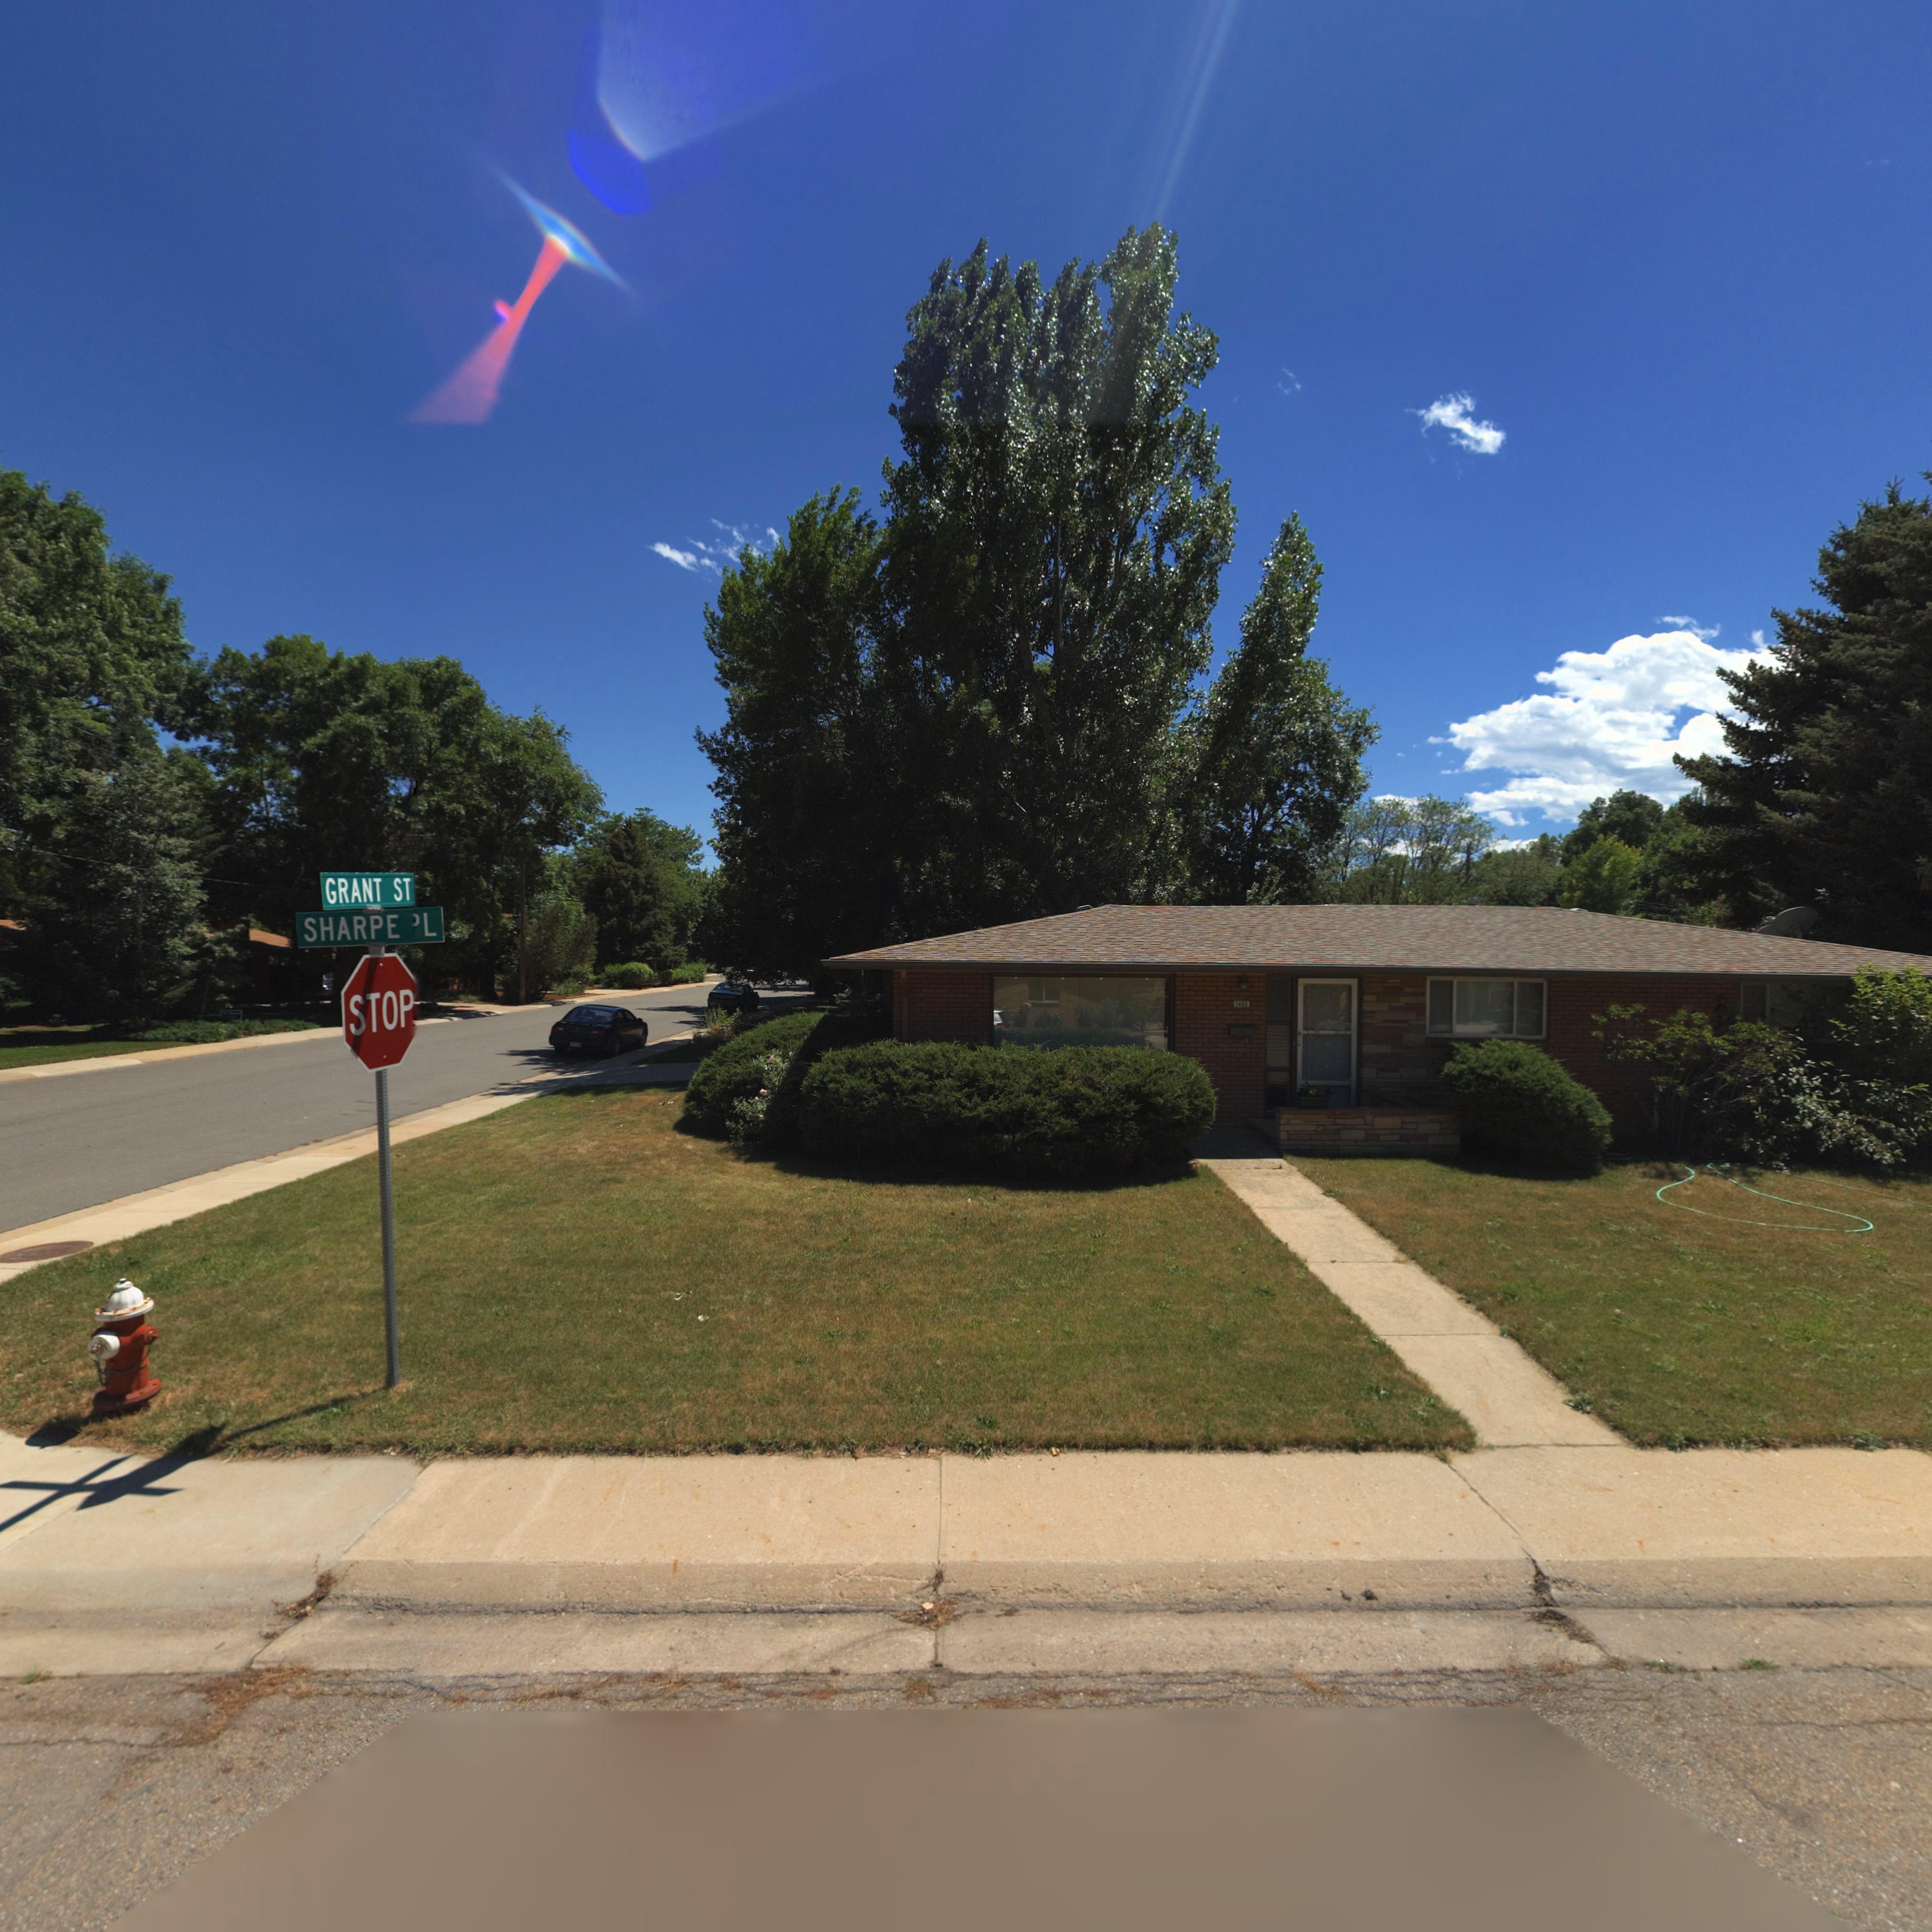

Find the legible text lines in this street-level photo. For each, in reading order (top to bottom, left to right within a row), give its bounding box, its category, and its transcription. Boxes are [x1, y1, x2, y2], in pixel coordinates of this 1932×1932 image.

[325, 877, 411, 904] StreetName: GRANT ST
[303, 912, 437, 942] StreetName: SHARPE *L
[1236, 1001, 1247, 1007] StreetNumber: 1405